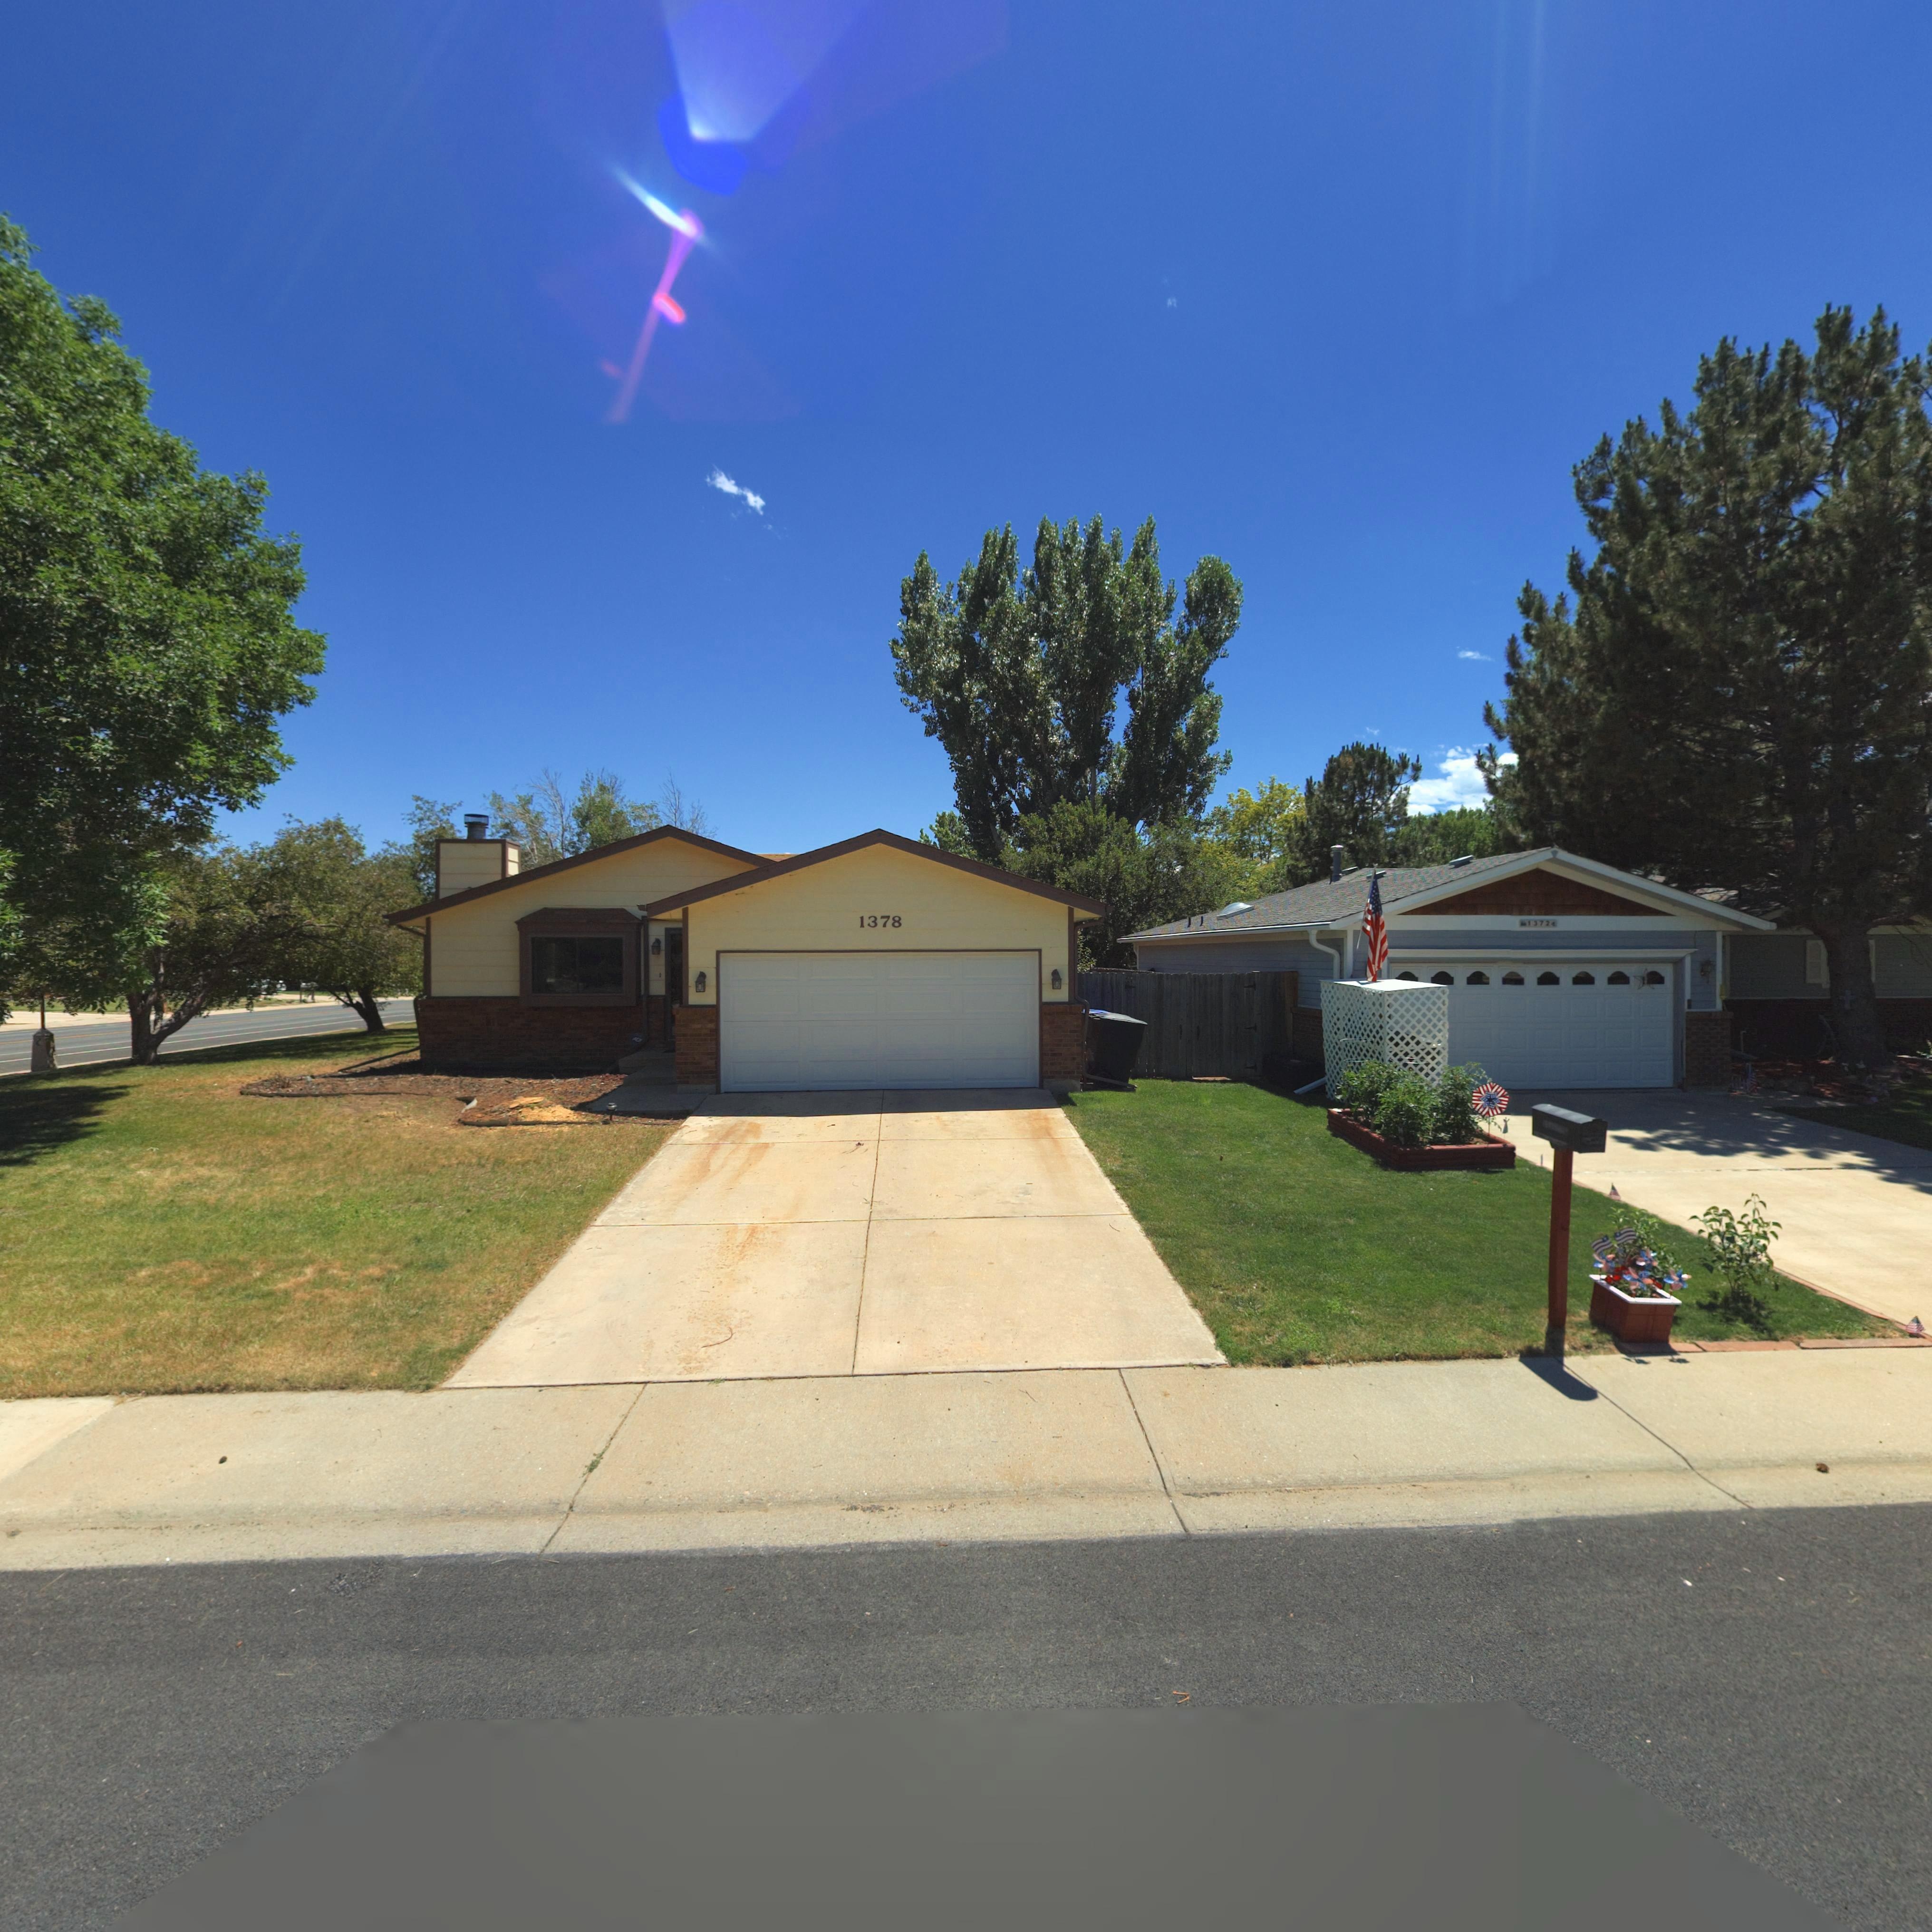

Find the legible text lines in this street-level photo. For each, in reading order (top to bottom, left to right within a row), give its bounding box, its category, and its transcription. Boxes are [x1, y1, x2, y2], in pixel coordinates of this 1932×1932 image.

[859, 915, 902, 928] StreetNumber: 1378
[1527, 920, 1550, 926] StreetNumber: 1372